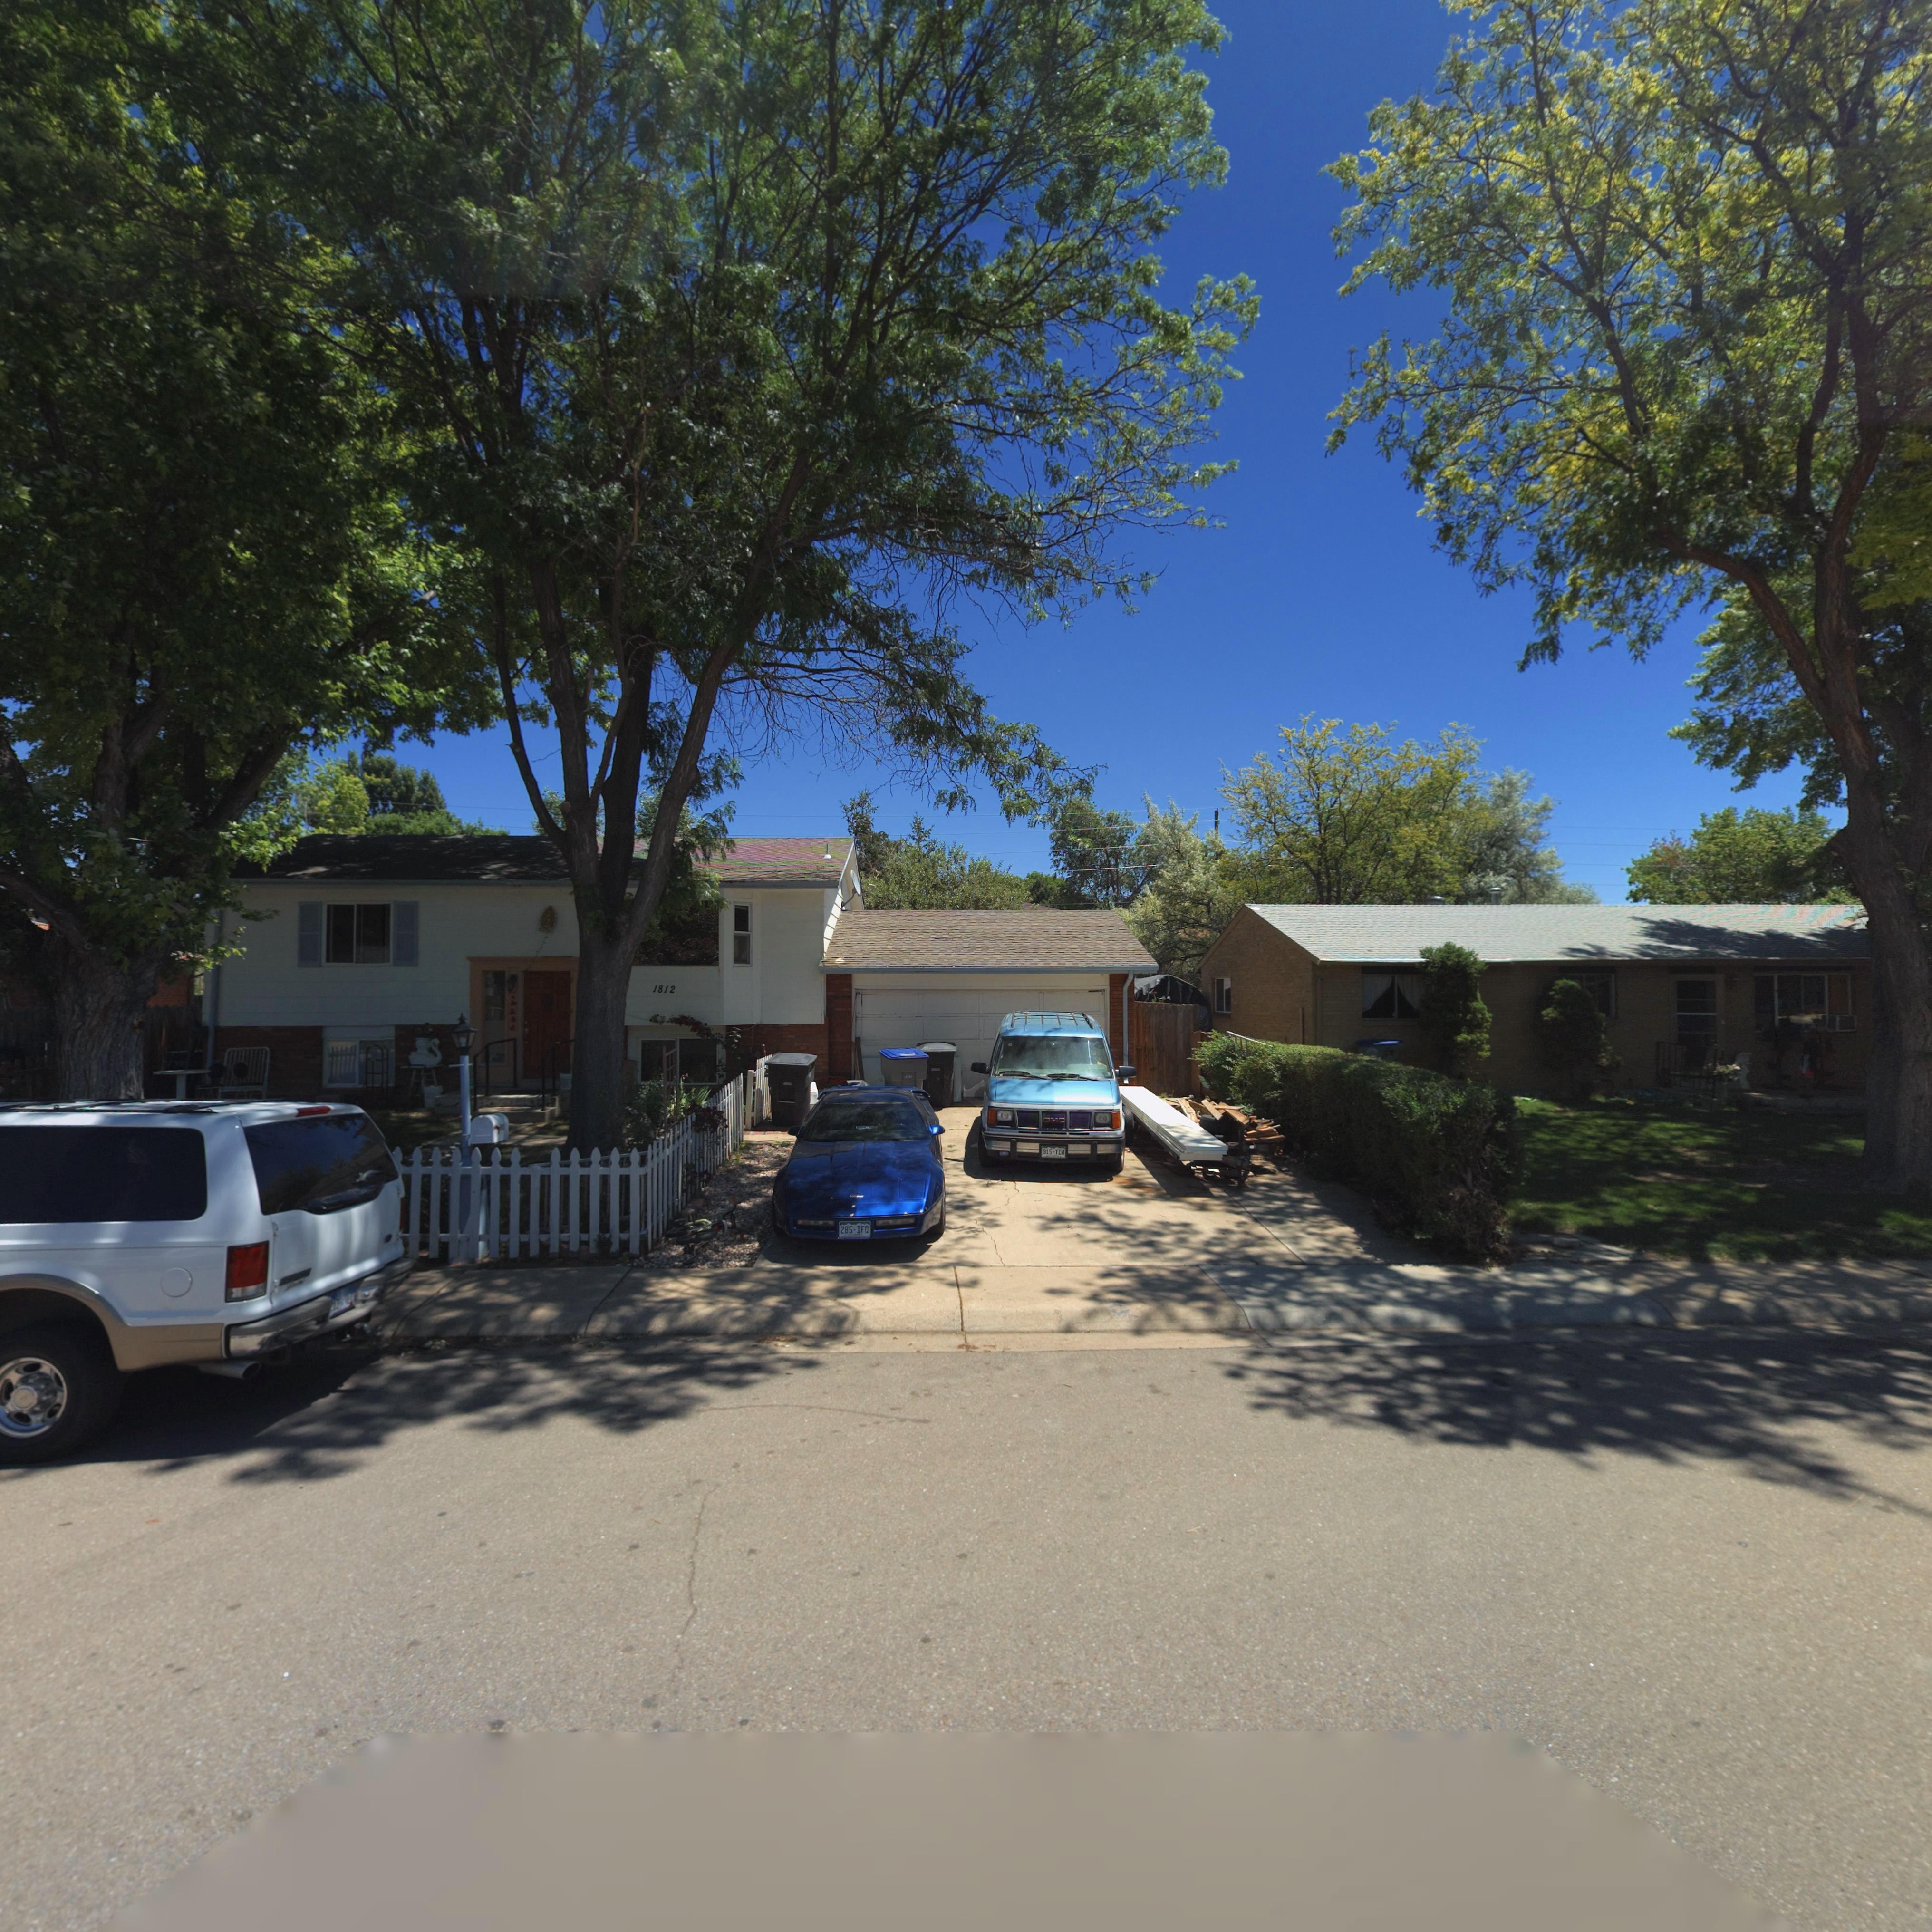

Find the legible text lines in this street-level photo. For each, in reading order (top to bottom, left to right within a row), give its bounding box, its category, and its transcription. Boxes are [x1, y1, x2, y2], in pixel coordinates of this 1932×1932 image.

[652, 985, 676, 993] StreetNumber: 1812